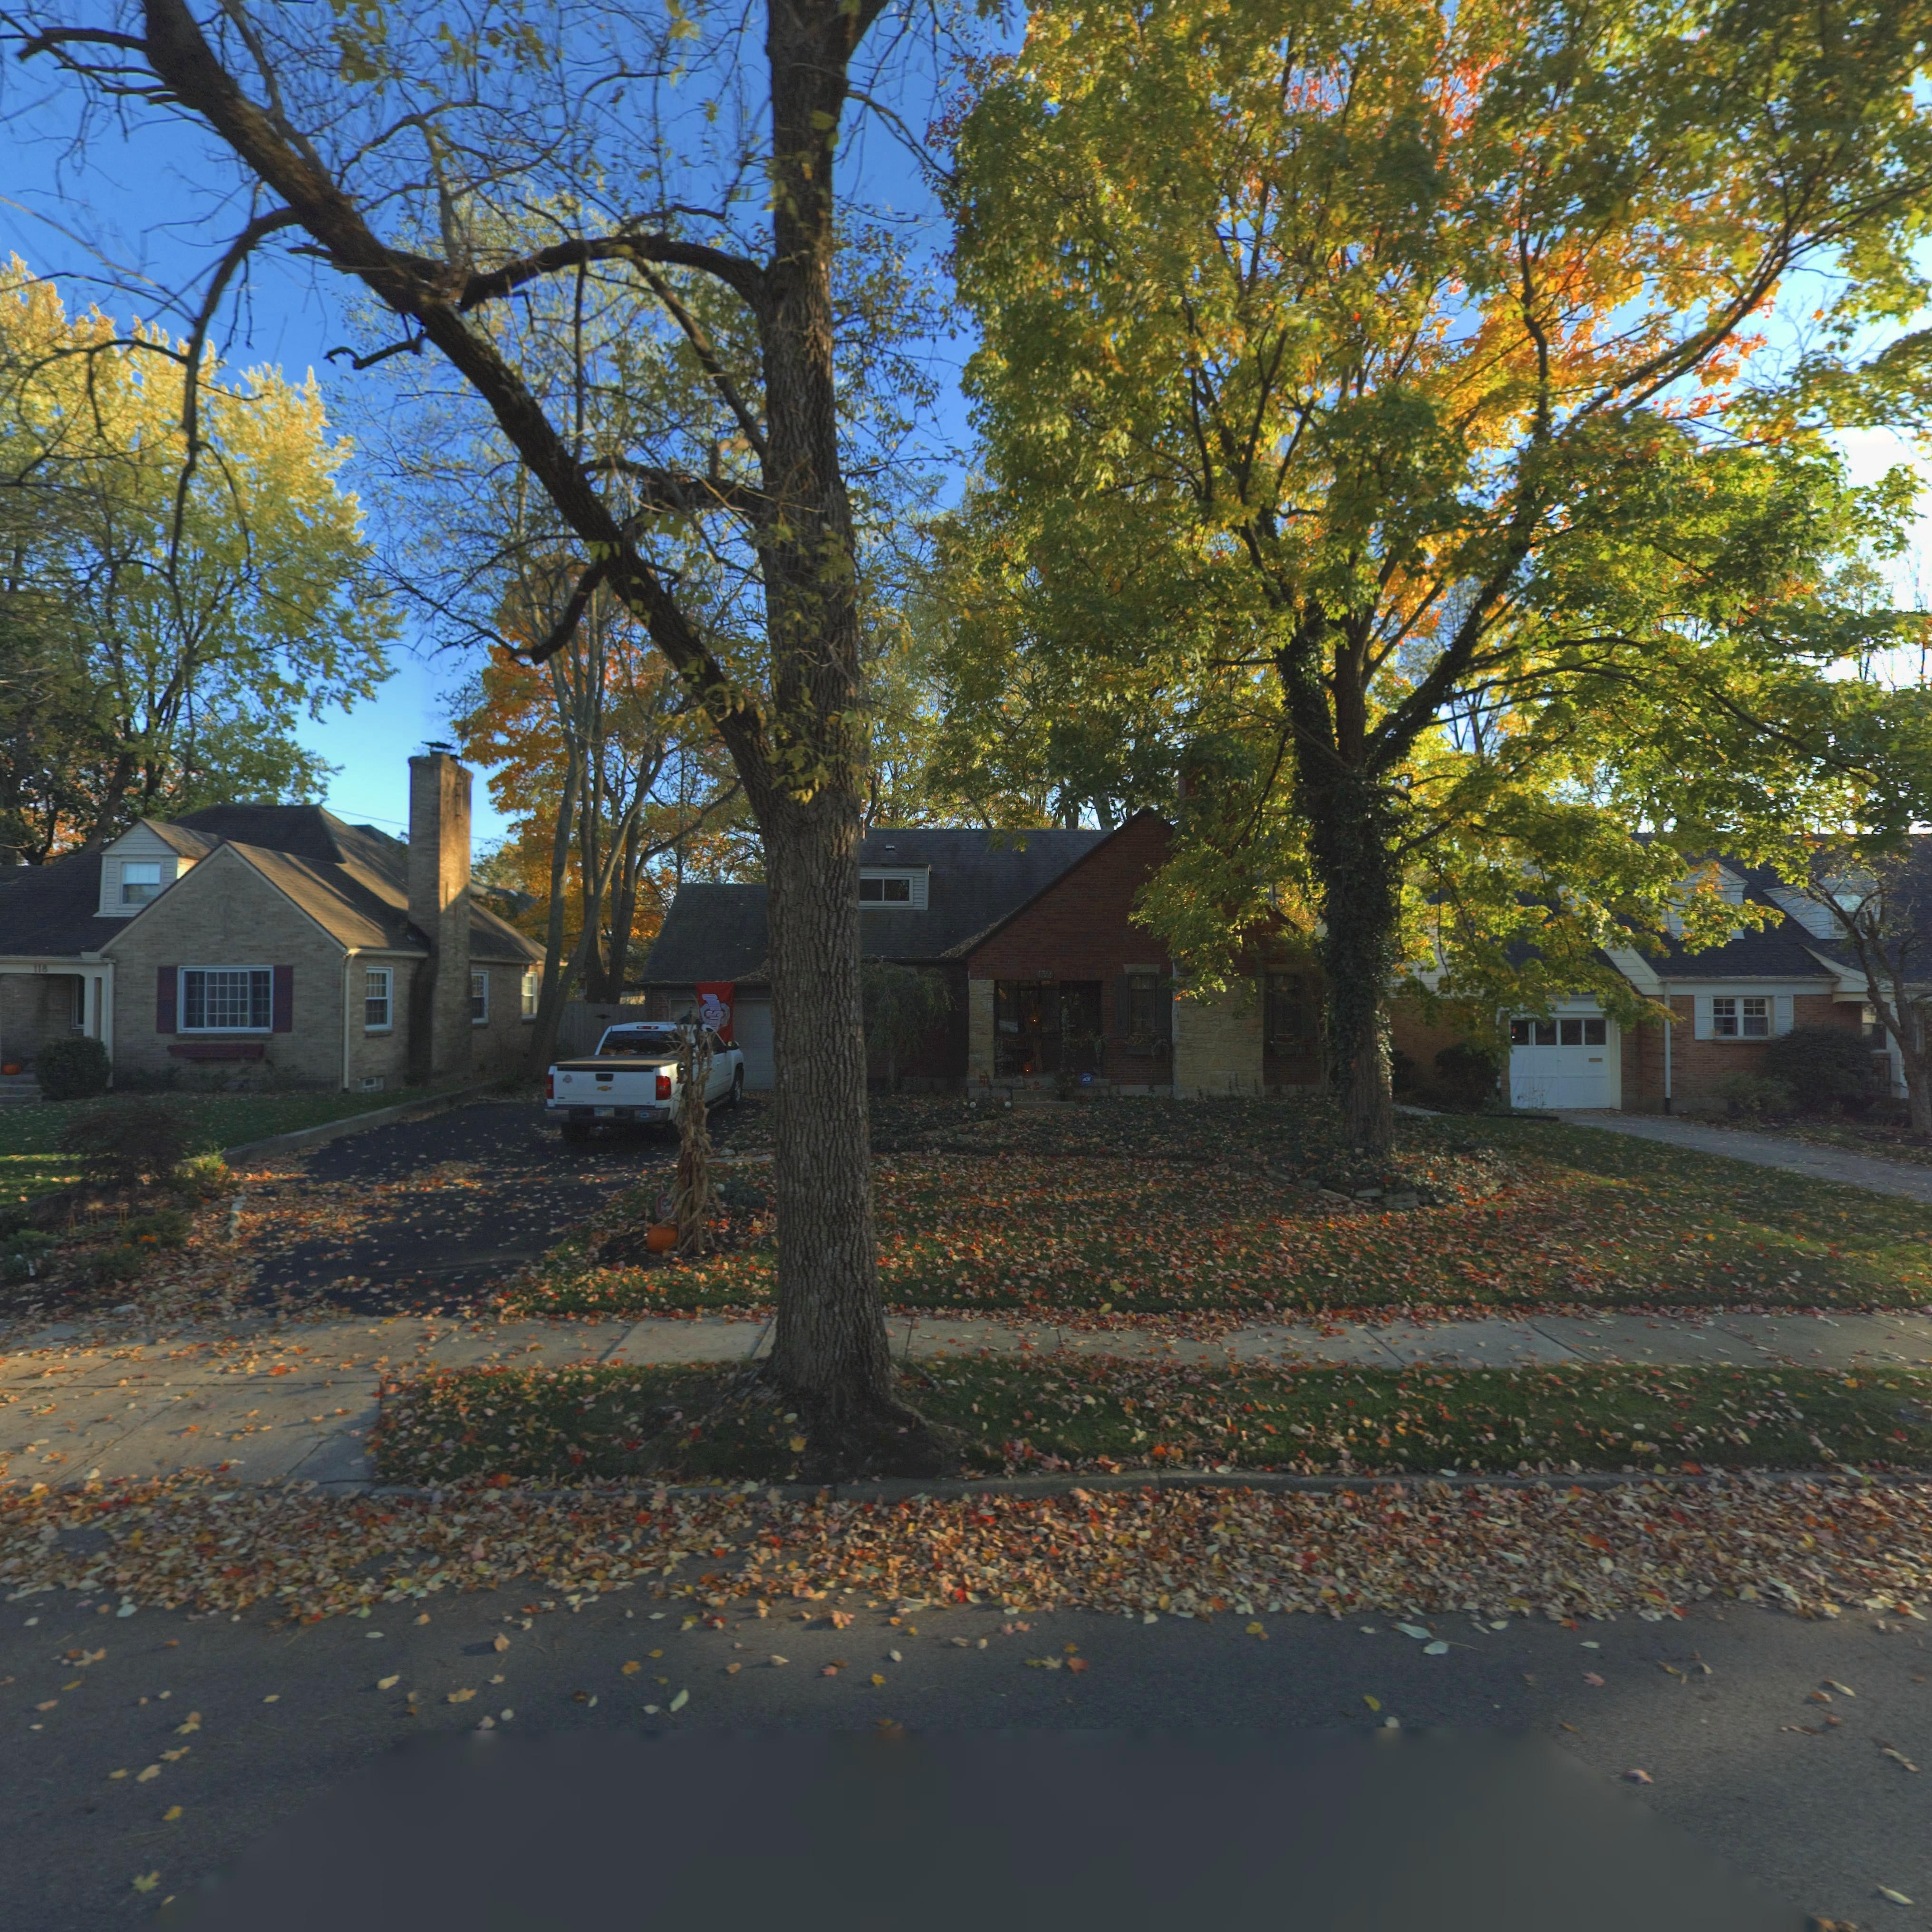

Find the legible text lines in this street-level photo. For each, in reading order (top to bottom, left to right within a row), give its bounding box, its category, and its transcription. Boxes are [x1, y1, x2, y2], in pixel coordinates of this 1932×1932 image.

[33, 963, 48, 973] StreetNumber: 118